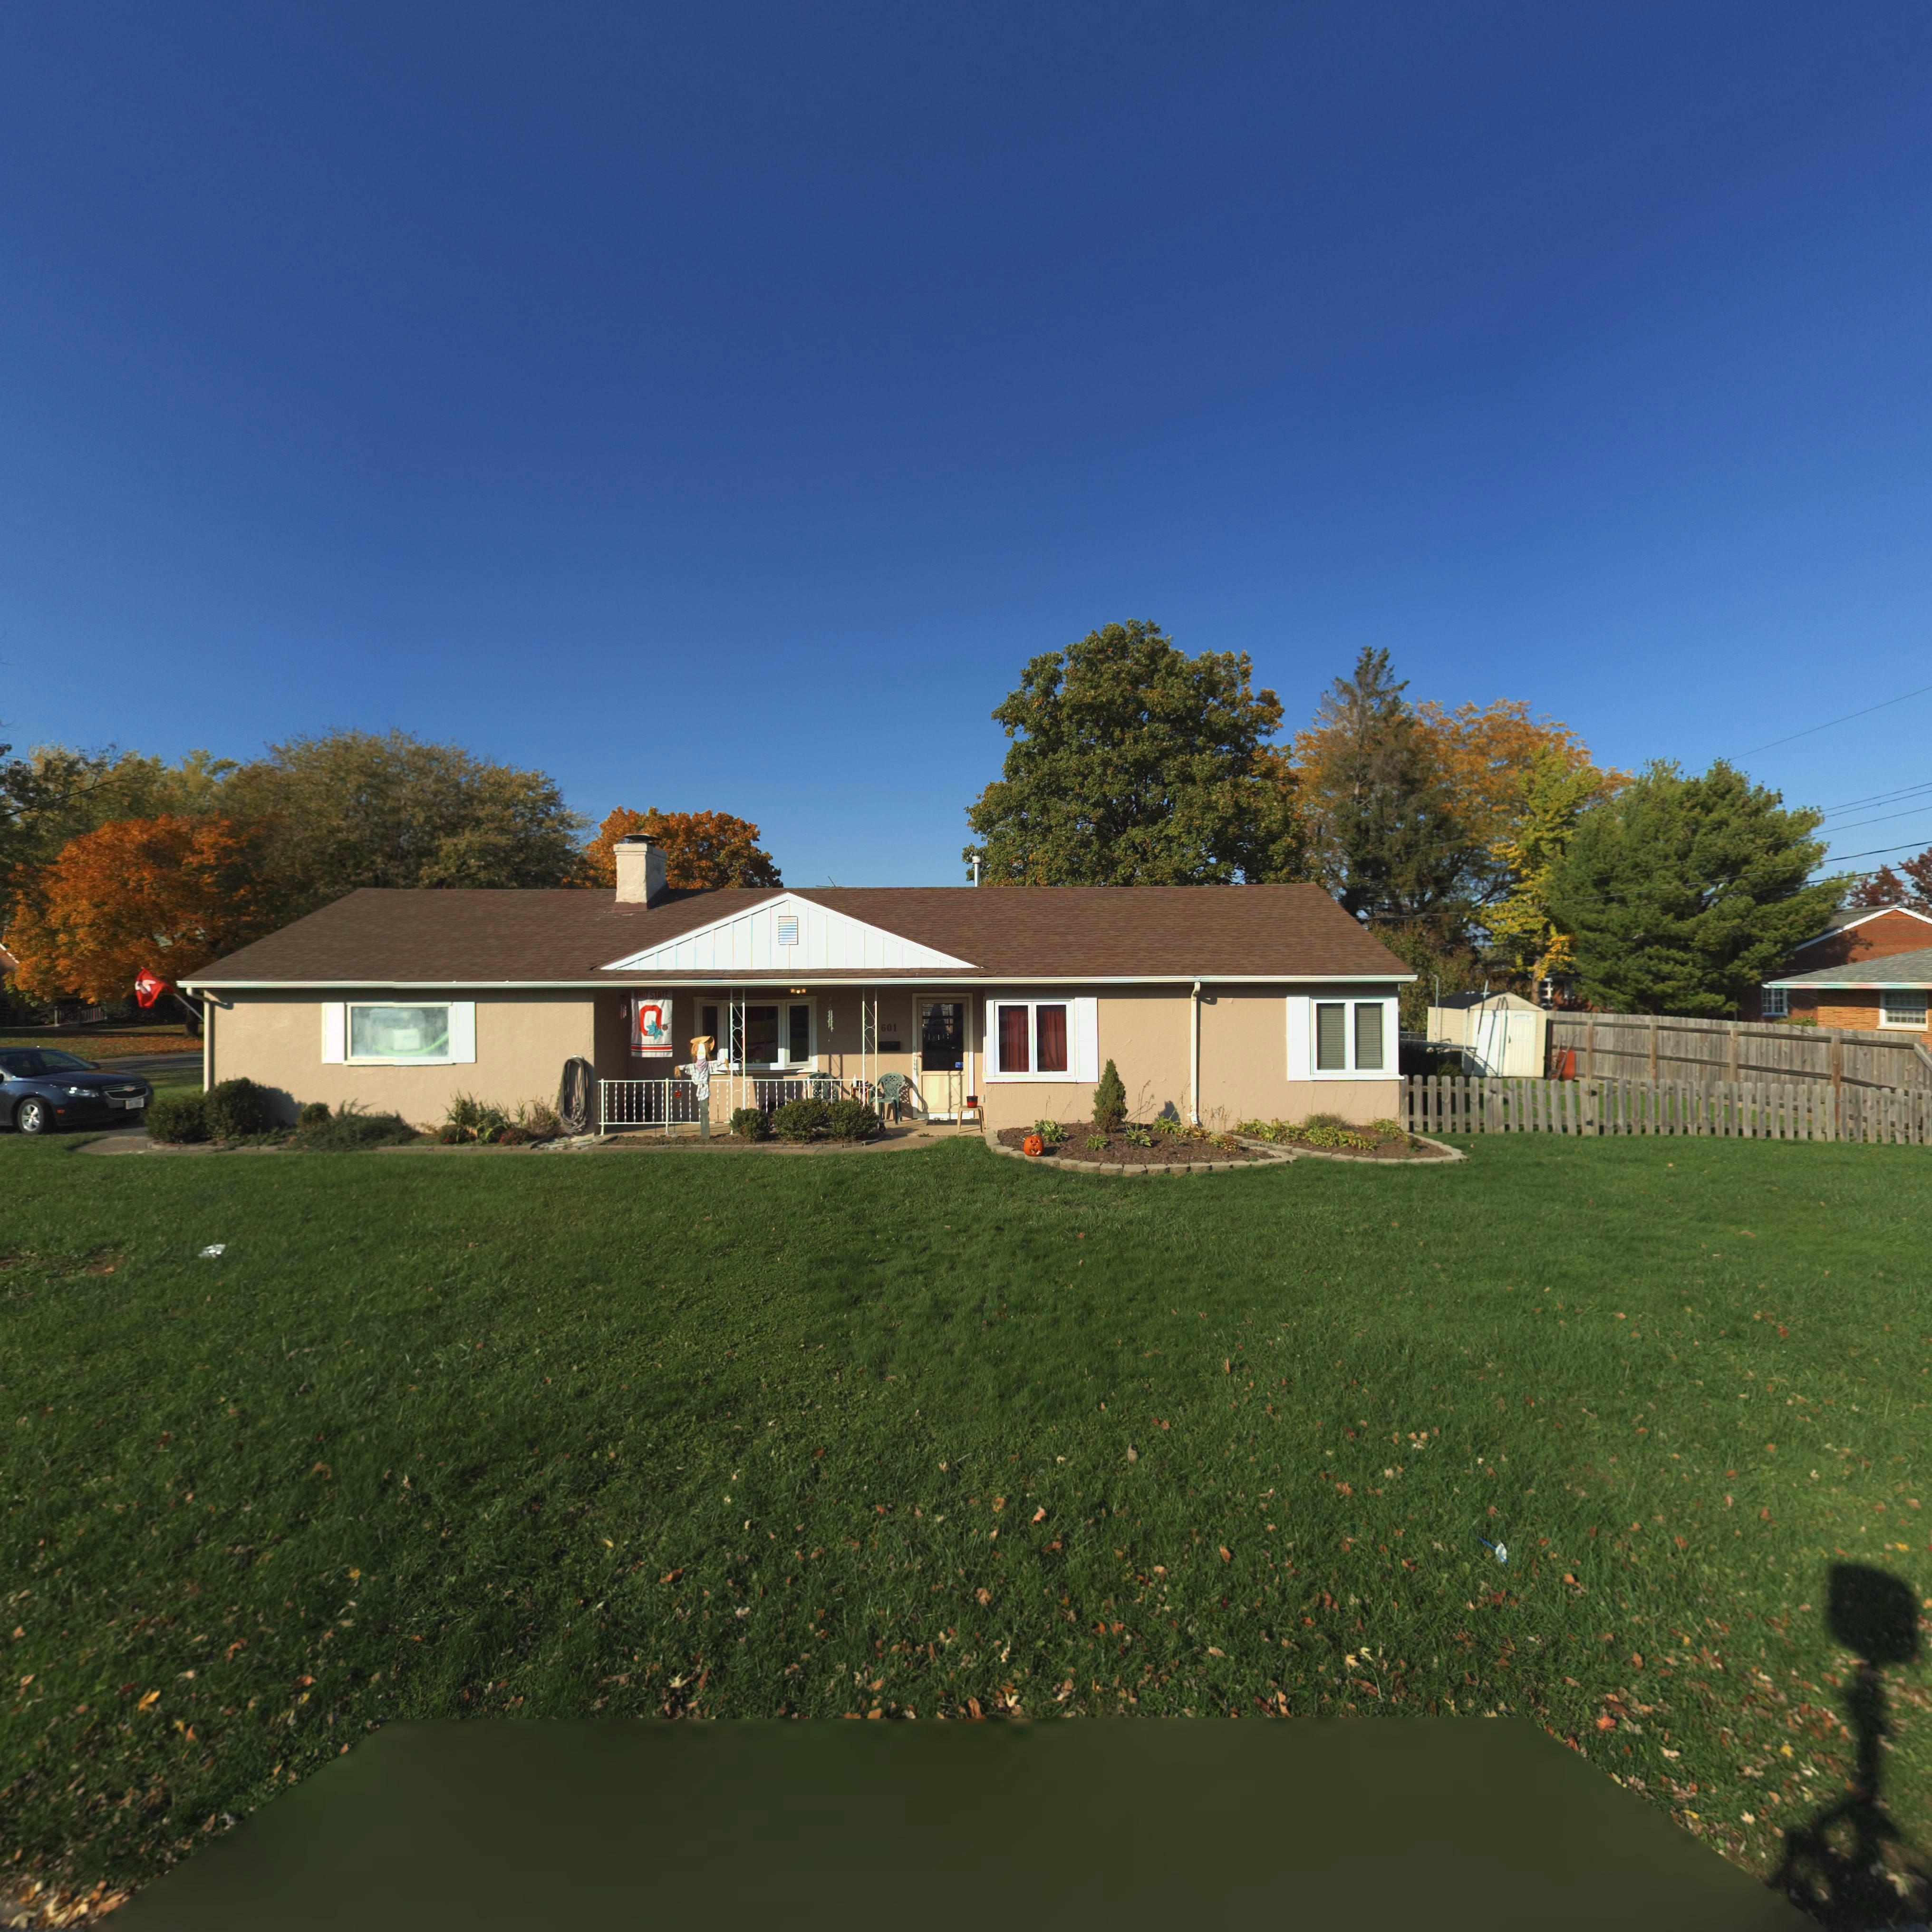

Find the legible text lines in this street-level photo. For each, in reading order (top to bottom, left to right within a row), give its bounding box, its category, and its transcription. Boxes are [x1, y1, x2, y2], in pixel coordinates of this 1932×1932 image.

[880, 1024, 897, 1032] StreetNumber: 601